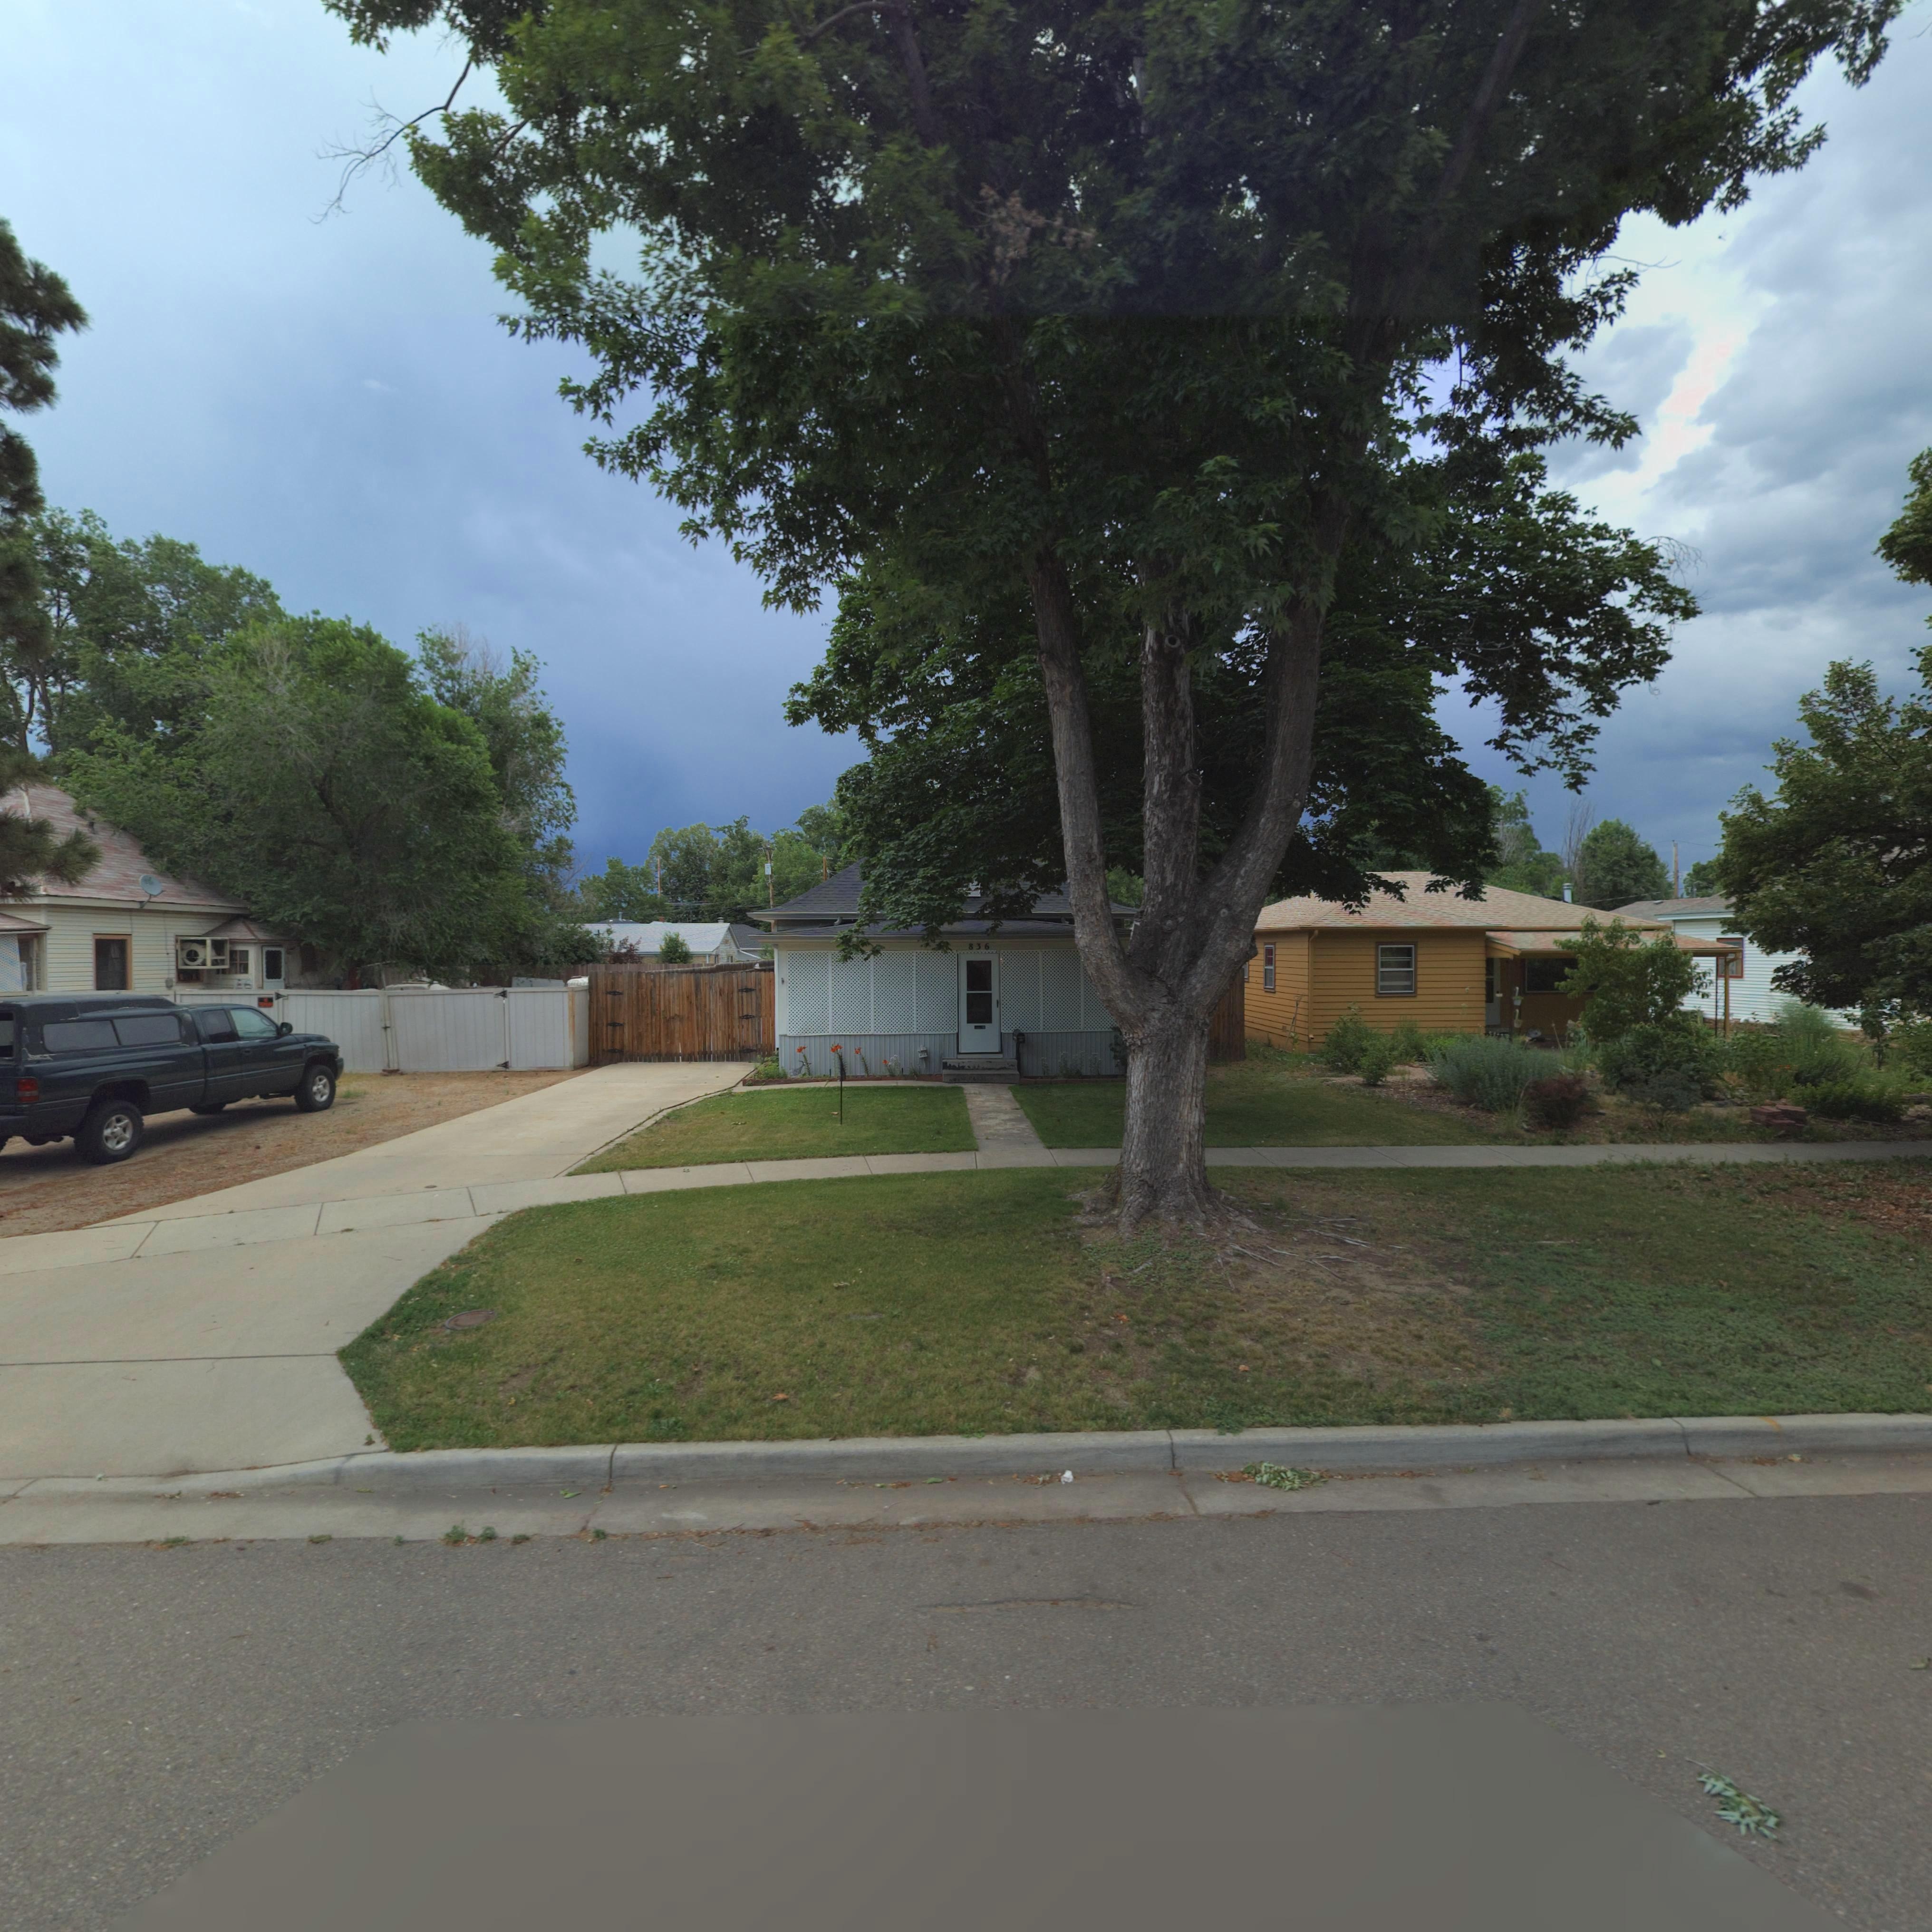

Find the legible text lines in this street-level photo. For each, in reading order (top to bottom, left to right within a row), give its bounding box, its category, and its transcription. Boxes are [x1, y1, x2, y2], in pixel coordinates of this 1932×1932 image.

[968, 942, 989, 950] StreetNumber: 836